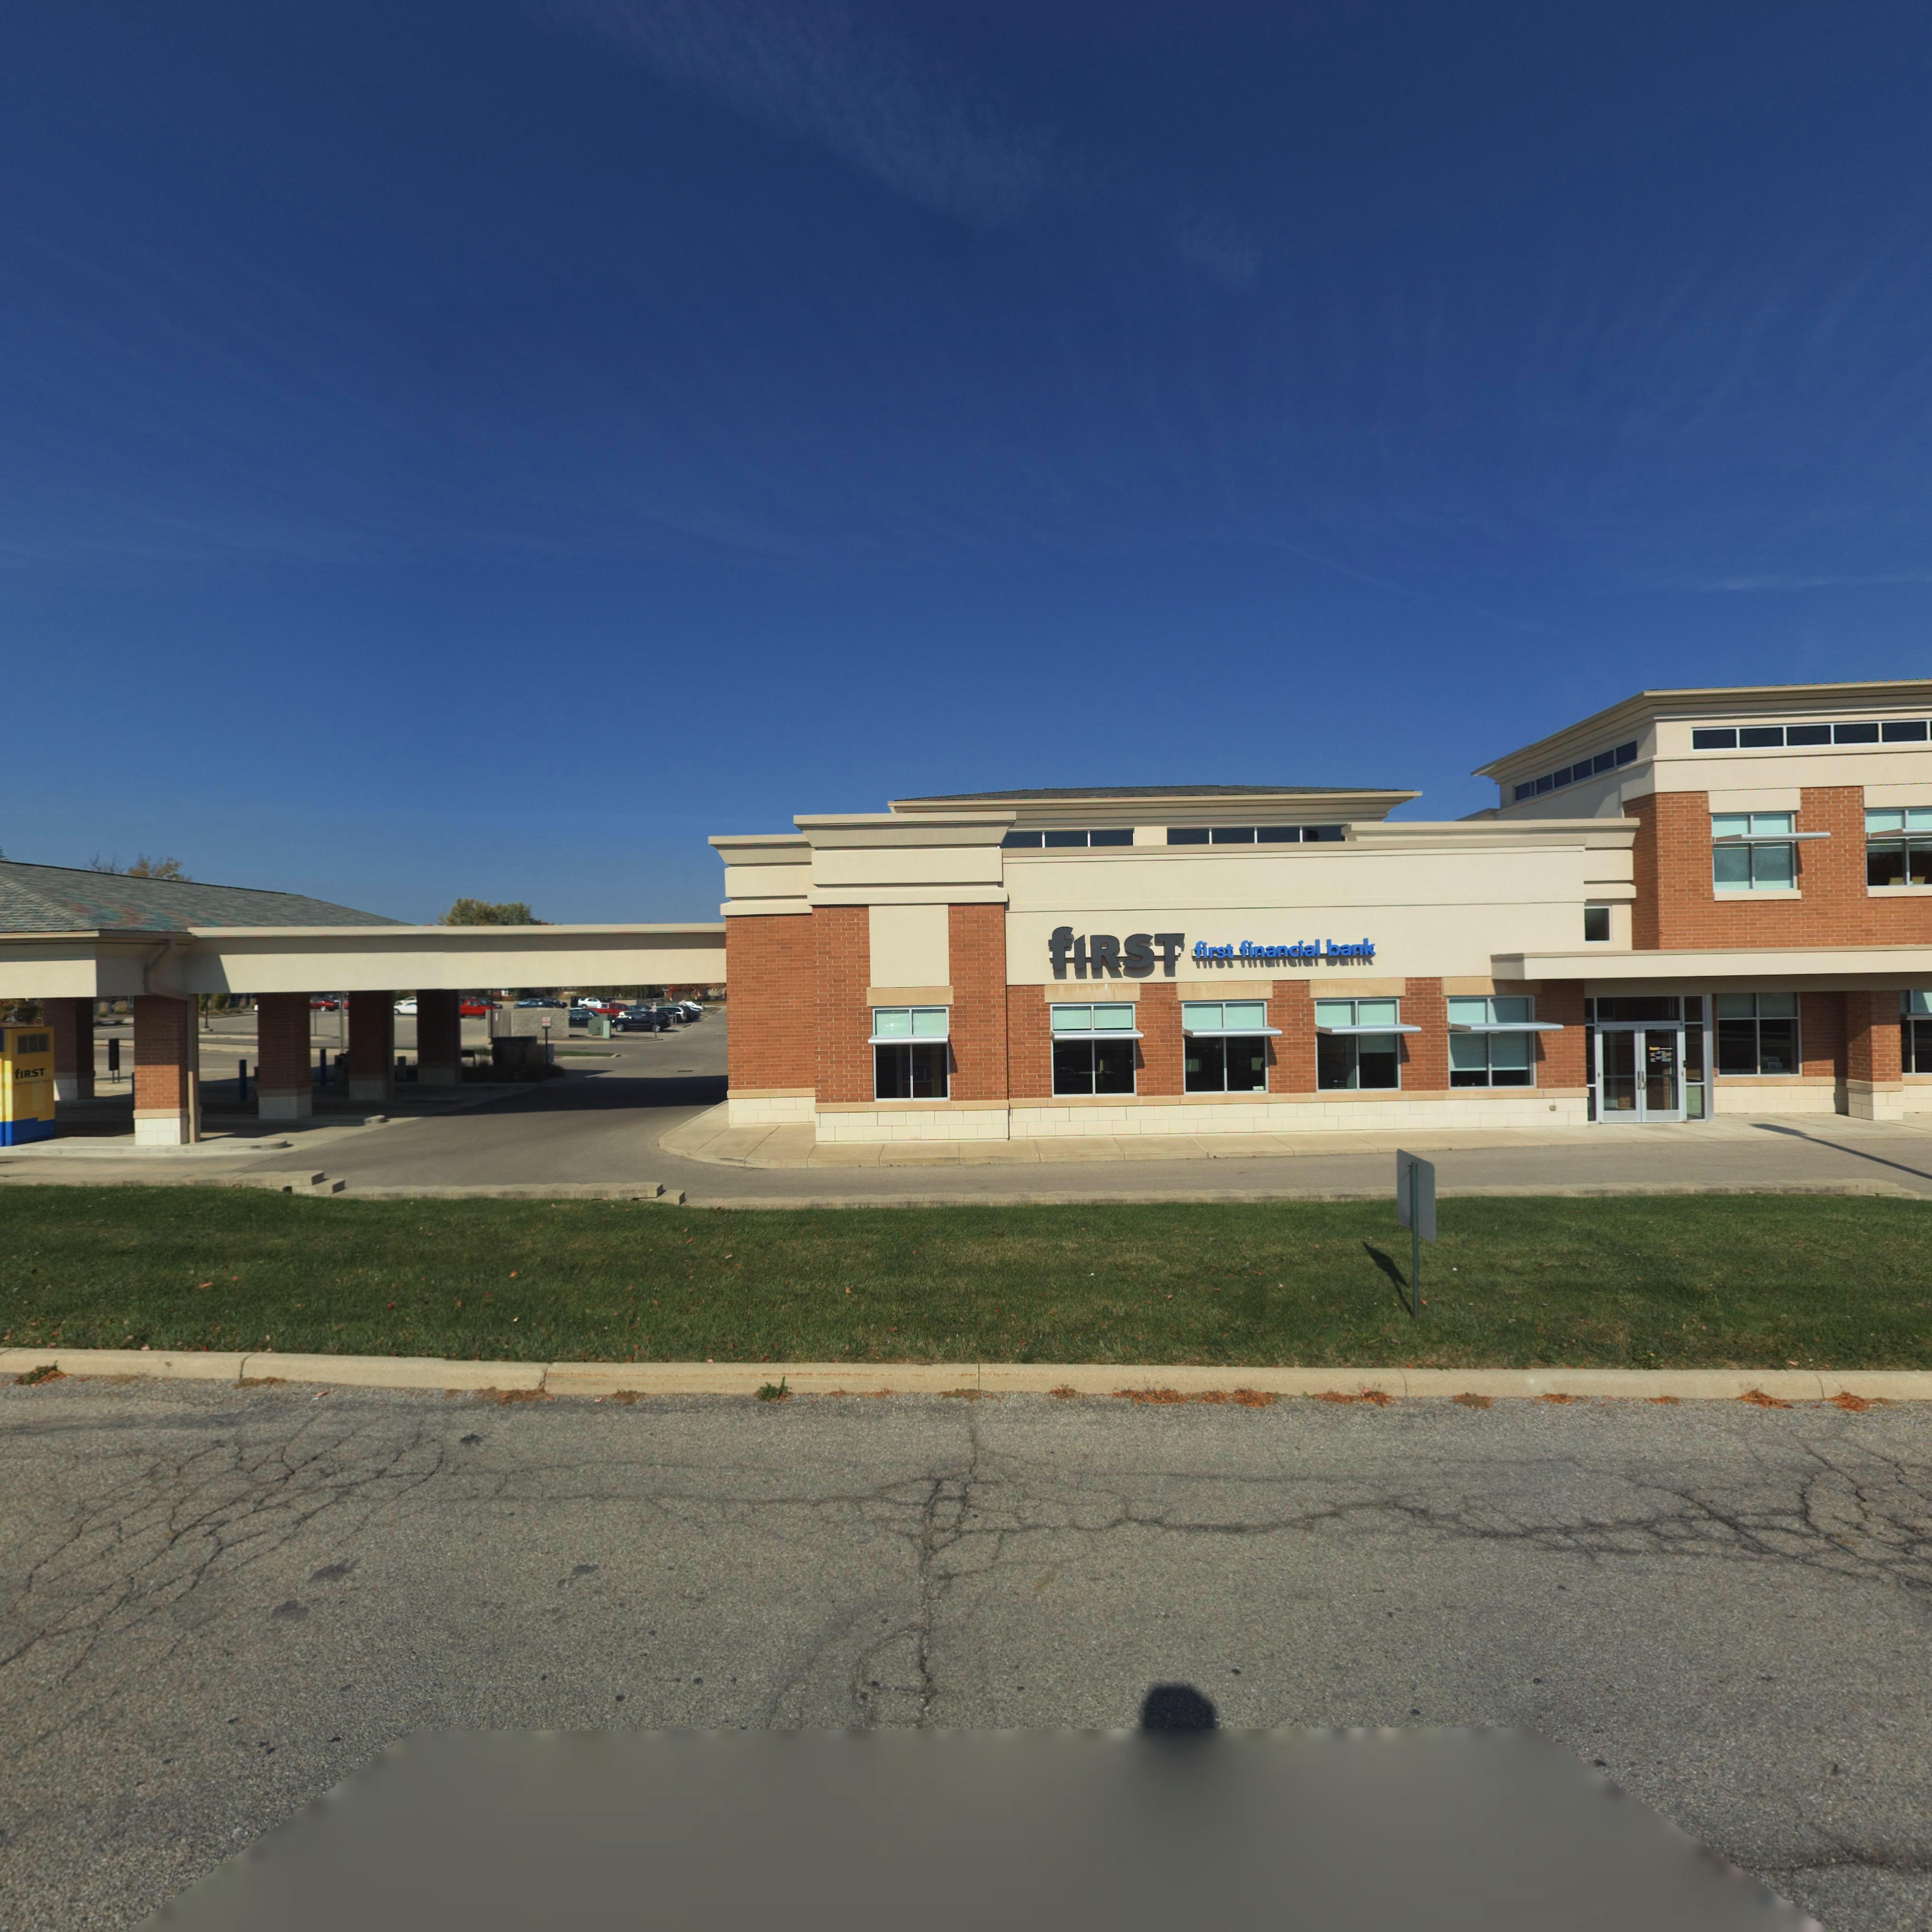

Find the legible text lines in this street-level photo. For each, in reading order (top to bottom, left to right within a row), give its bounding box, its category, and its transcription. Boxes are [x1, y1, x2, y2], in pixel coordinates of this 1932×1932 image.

[1047, 925, 1186, 971] BusinessName: fIRST
[1193, 937, 1376, 959] BusinessName: first financial bank
[13, 1066, 47, 1080] BusinessName: fIRST